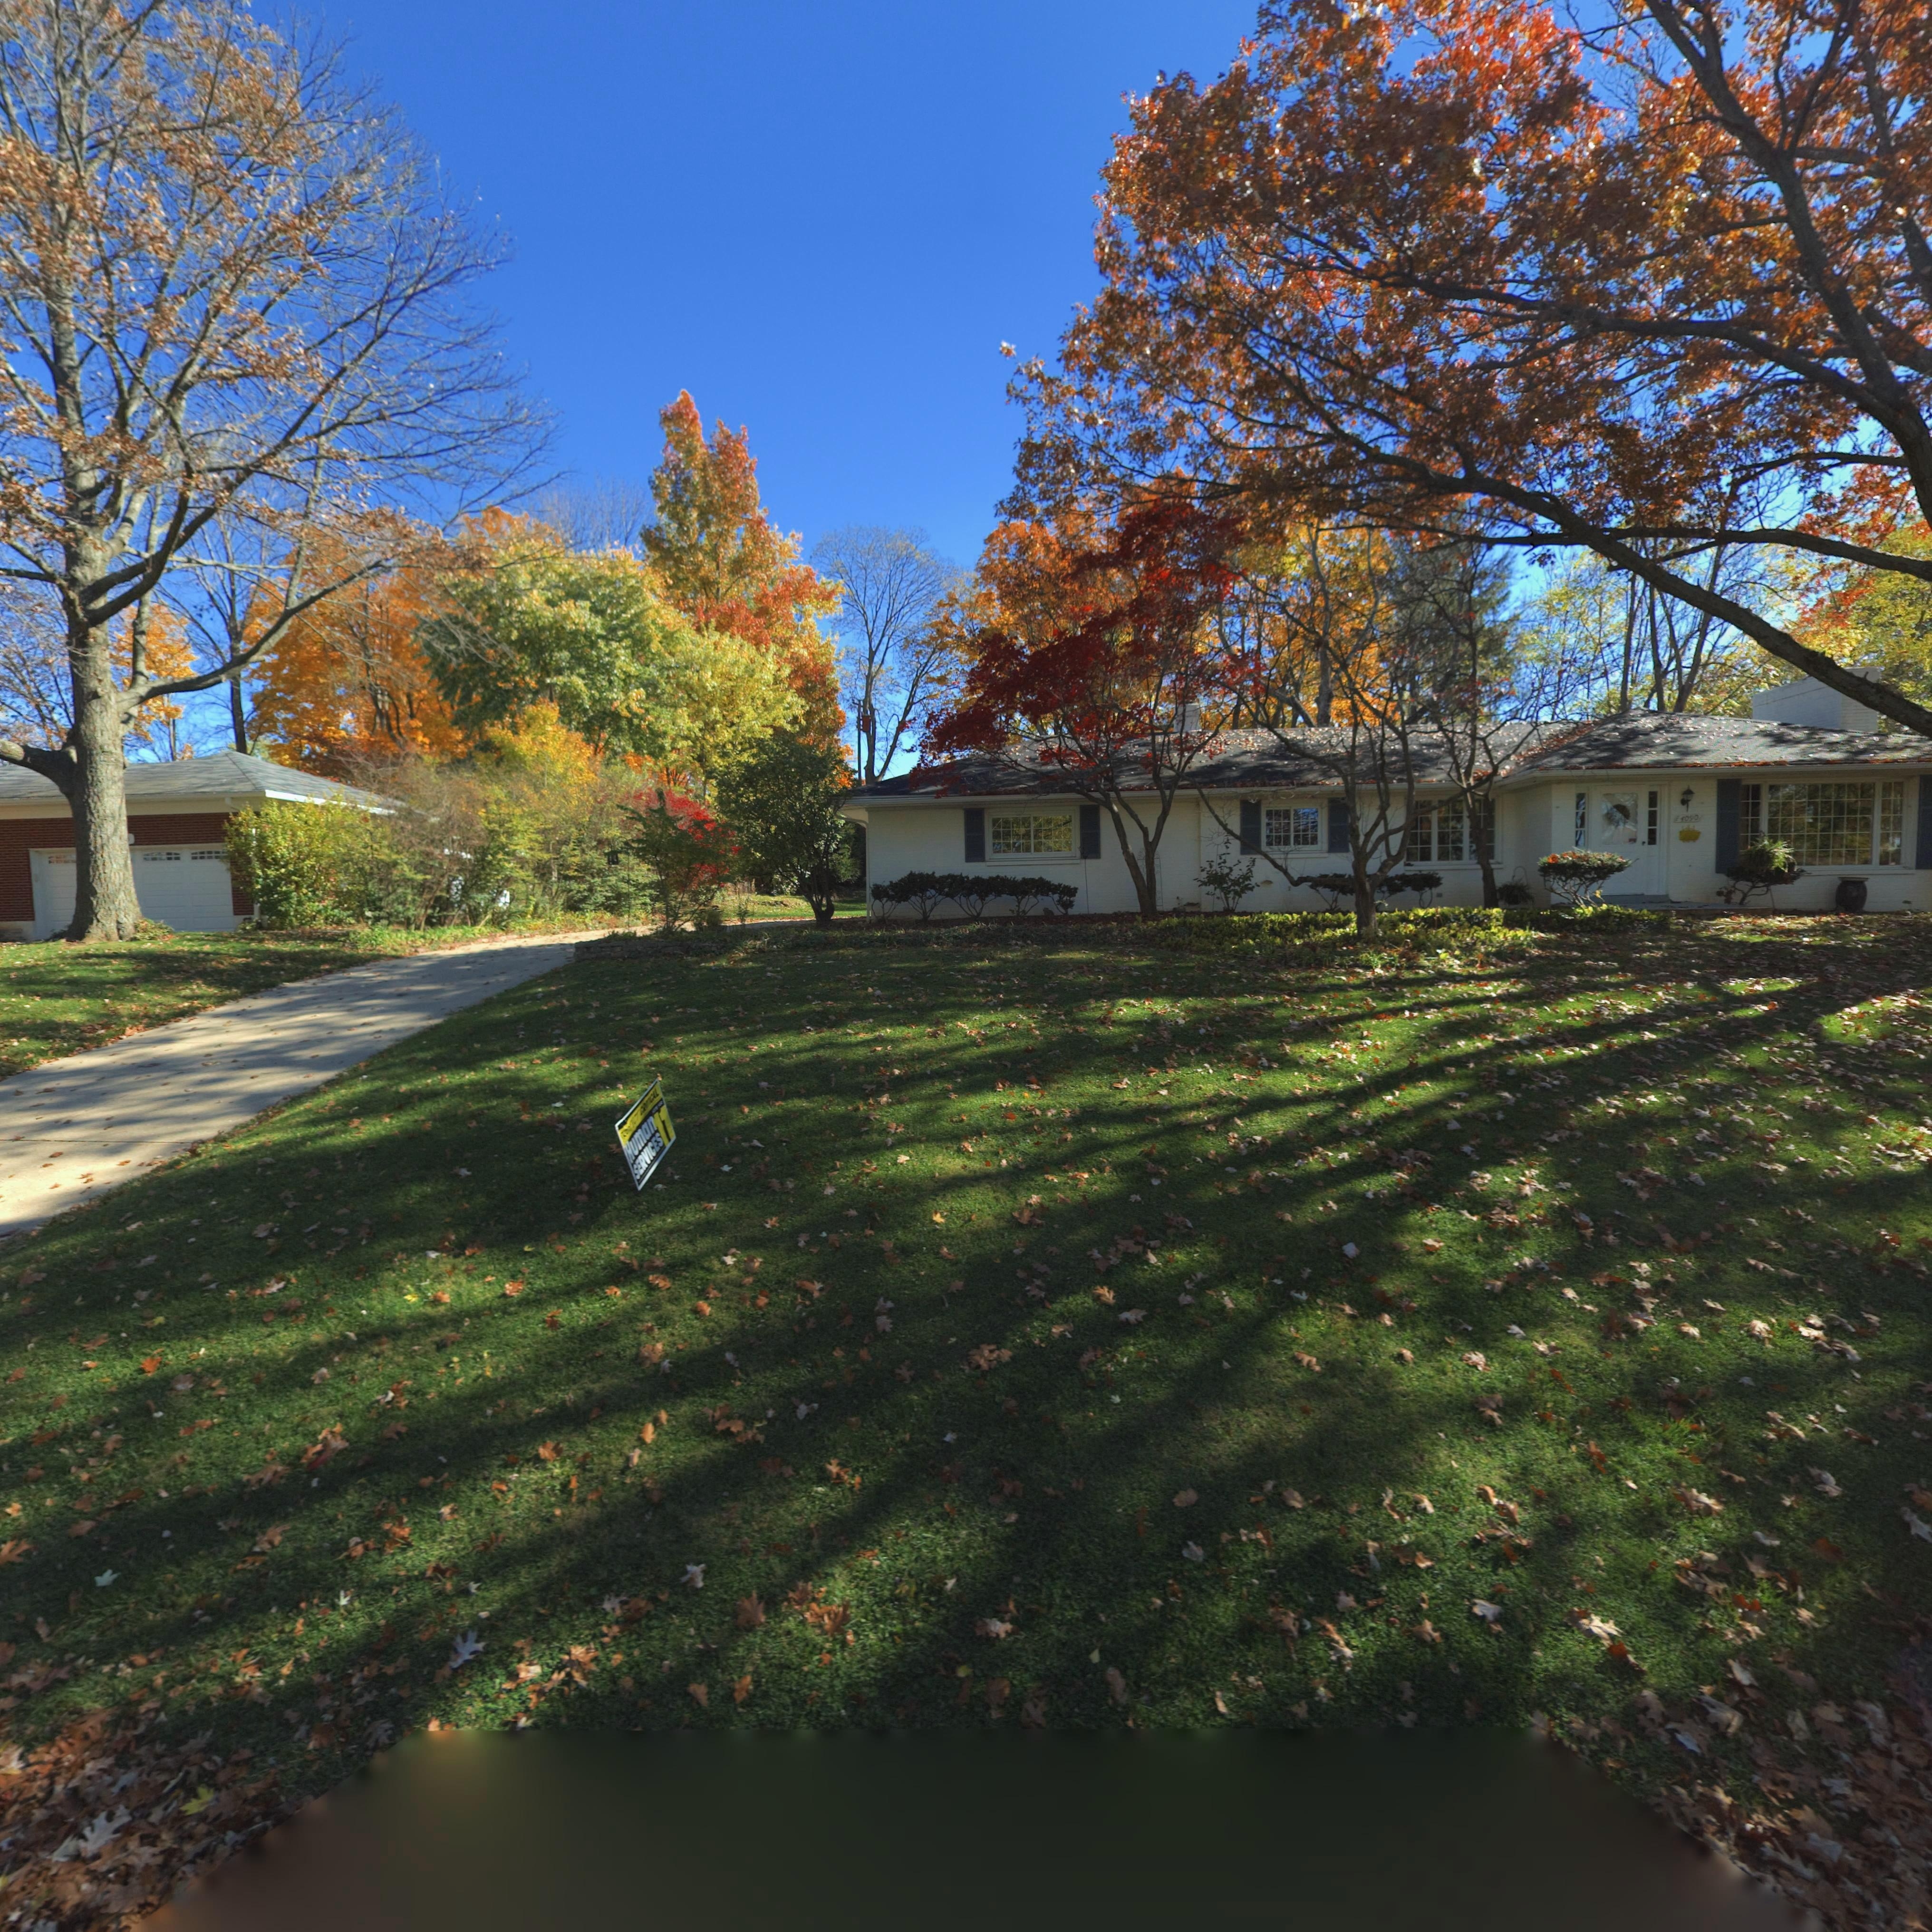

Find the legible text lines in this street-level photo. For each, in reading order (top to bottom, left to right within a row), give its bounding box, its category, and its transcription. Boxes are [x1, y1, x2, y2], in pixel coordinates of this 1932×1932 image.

[1679, 814, 1700, 823] StreetNumber: 4090